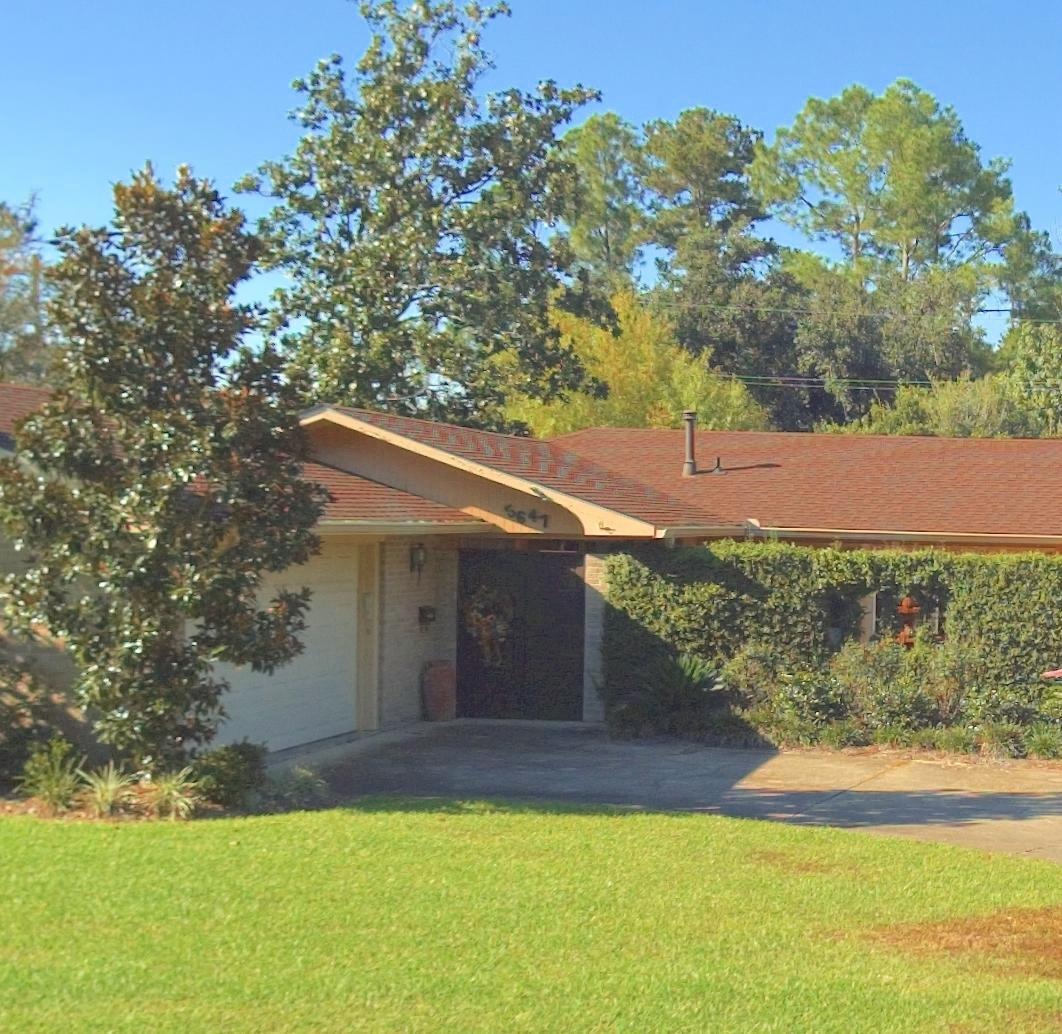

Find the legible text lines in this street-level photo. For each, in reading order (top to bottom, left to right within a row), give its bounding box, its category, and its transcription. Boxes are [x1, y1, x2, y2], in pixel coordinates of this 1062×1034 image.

[501, 501, 552, 532] StreetNumber: 5647